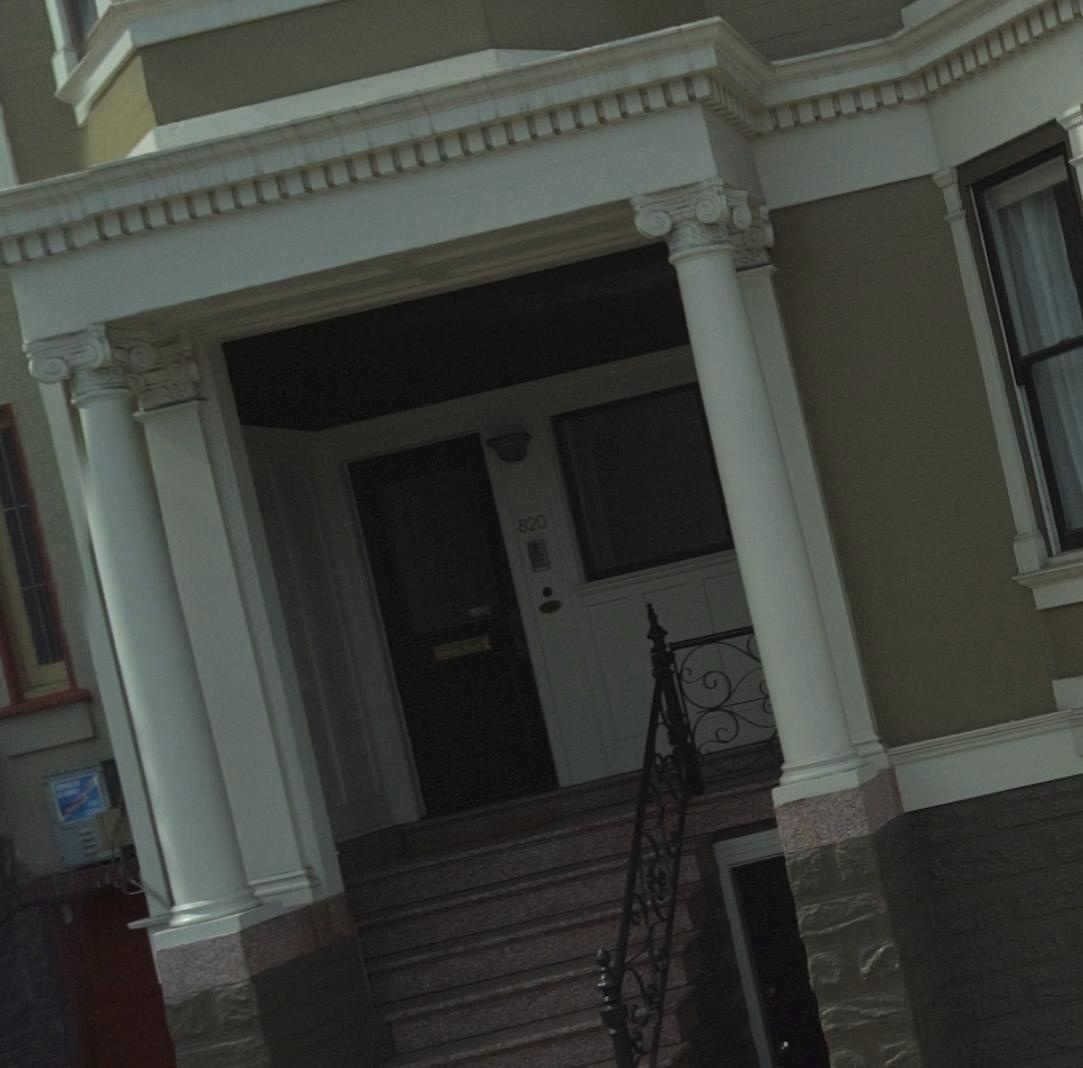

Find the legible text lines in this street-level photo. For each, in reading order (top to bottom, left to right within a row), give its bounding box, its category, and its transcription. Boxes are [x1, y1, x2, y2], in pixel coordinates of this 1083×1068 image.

[514, 511, 549, 538] StreetNumber: 820